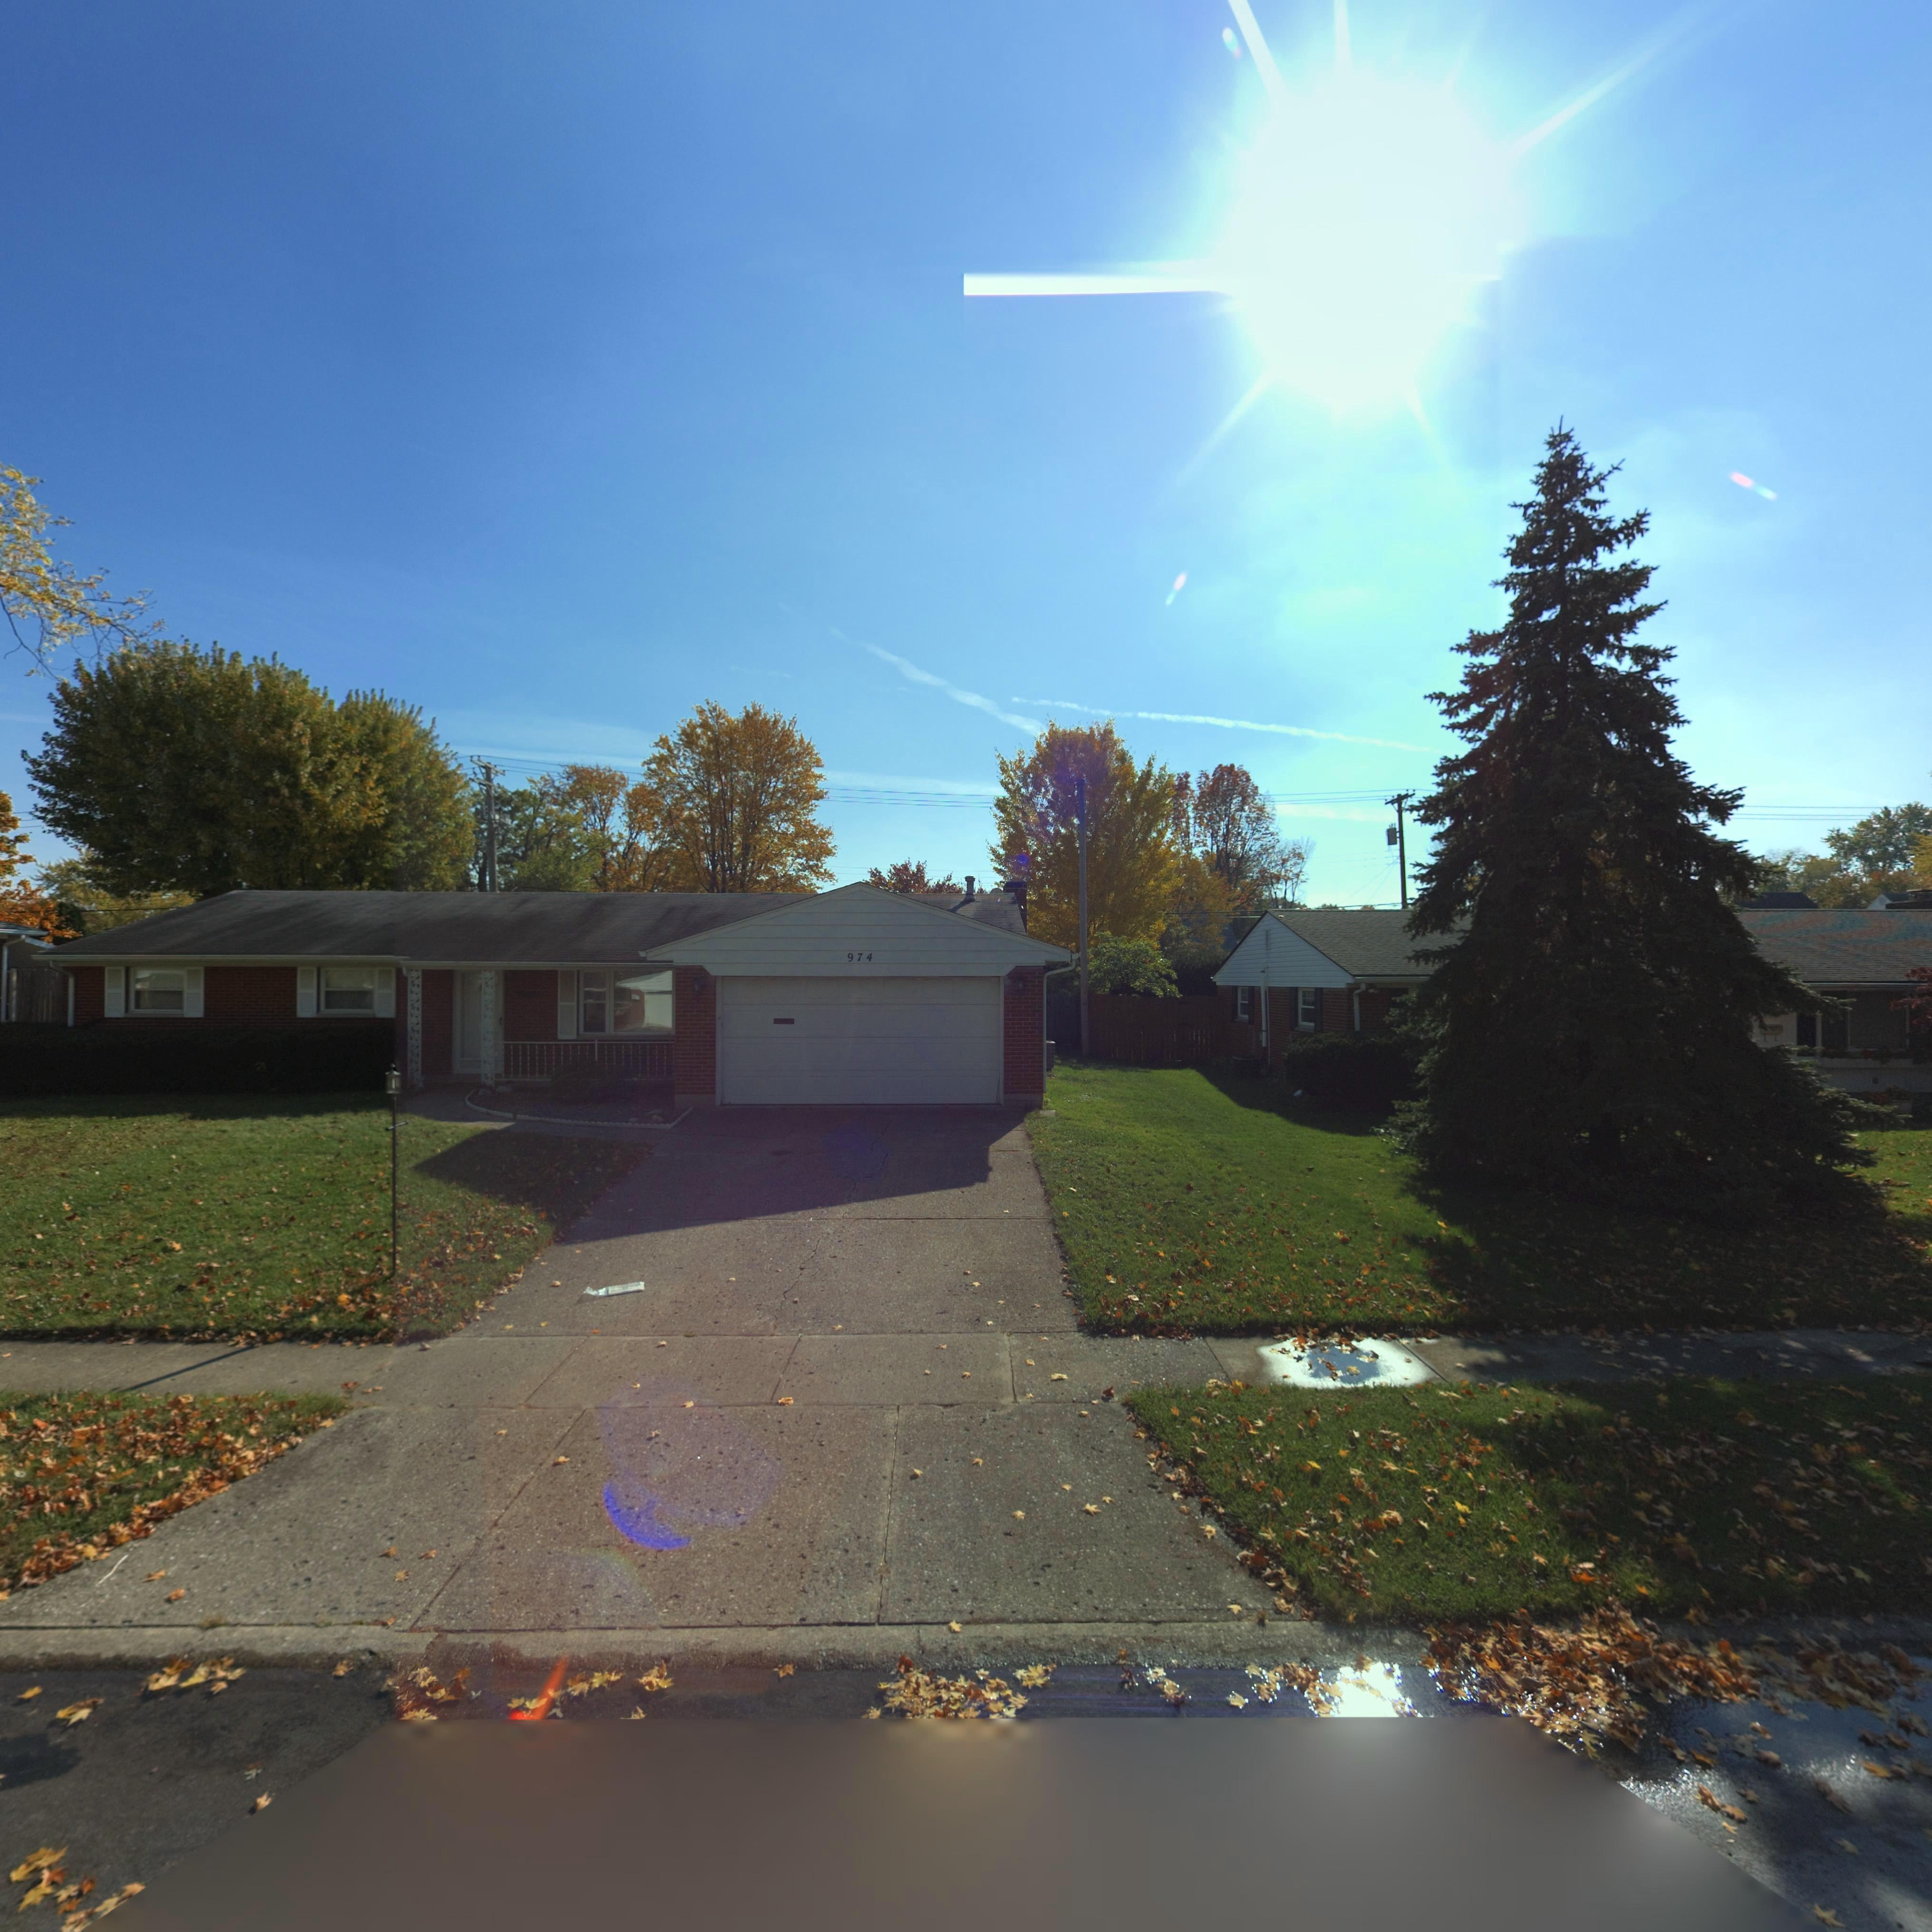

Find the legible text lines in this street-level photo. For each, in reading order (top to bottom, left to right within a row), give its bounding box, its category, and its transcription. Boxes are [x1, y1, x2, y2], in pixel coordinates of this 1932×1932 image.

[846, 951, 874, 963] StreetNumber: 974